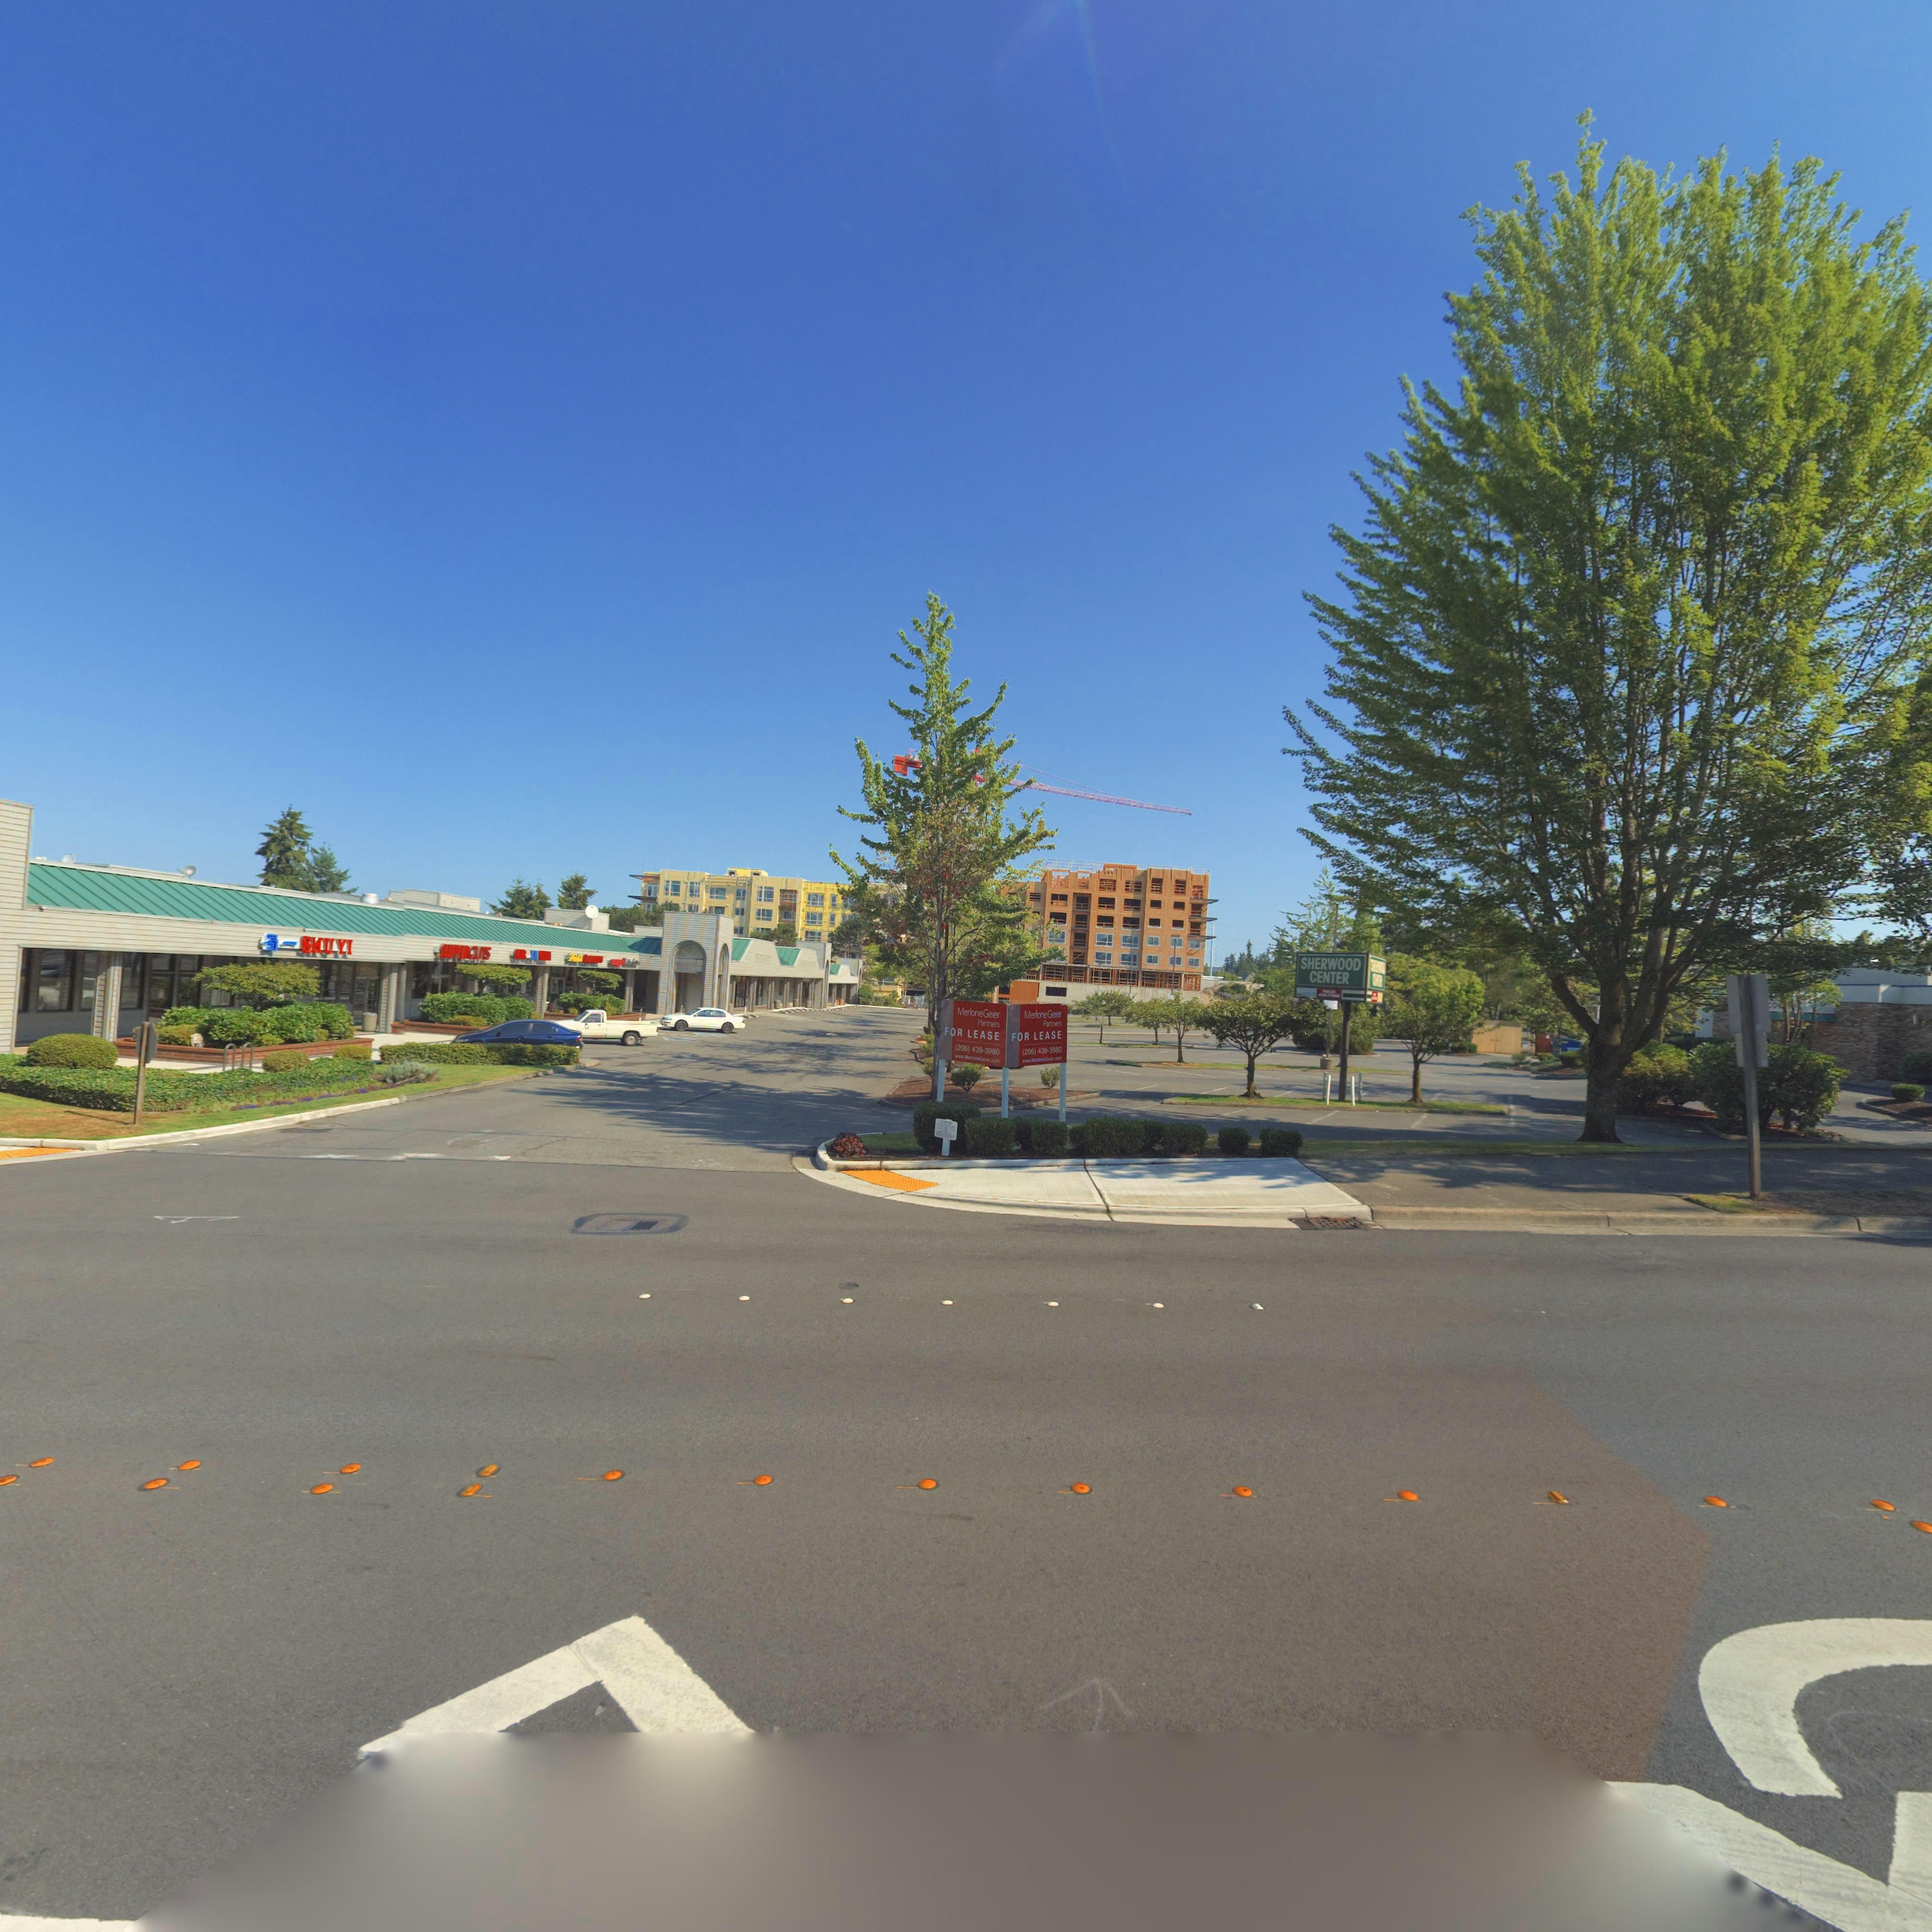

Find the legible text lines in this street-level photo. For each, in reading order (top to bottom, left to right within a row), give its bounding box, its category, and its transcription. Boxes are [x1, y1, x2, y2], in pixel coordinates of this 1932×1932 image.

[300, 936, 354, 954] BusinessName: SHUYI
[438, 943, 492, 960] BusinessName: SUPERCUTS